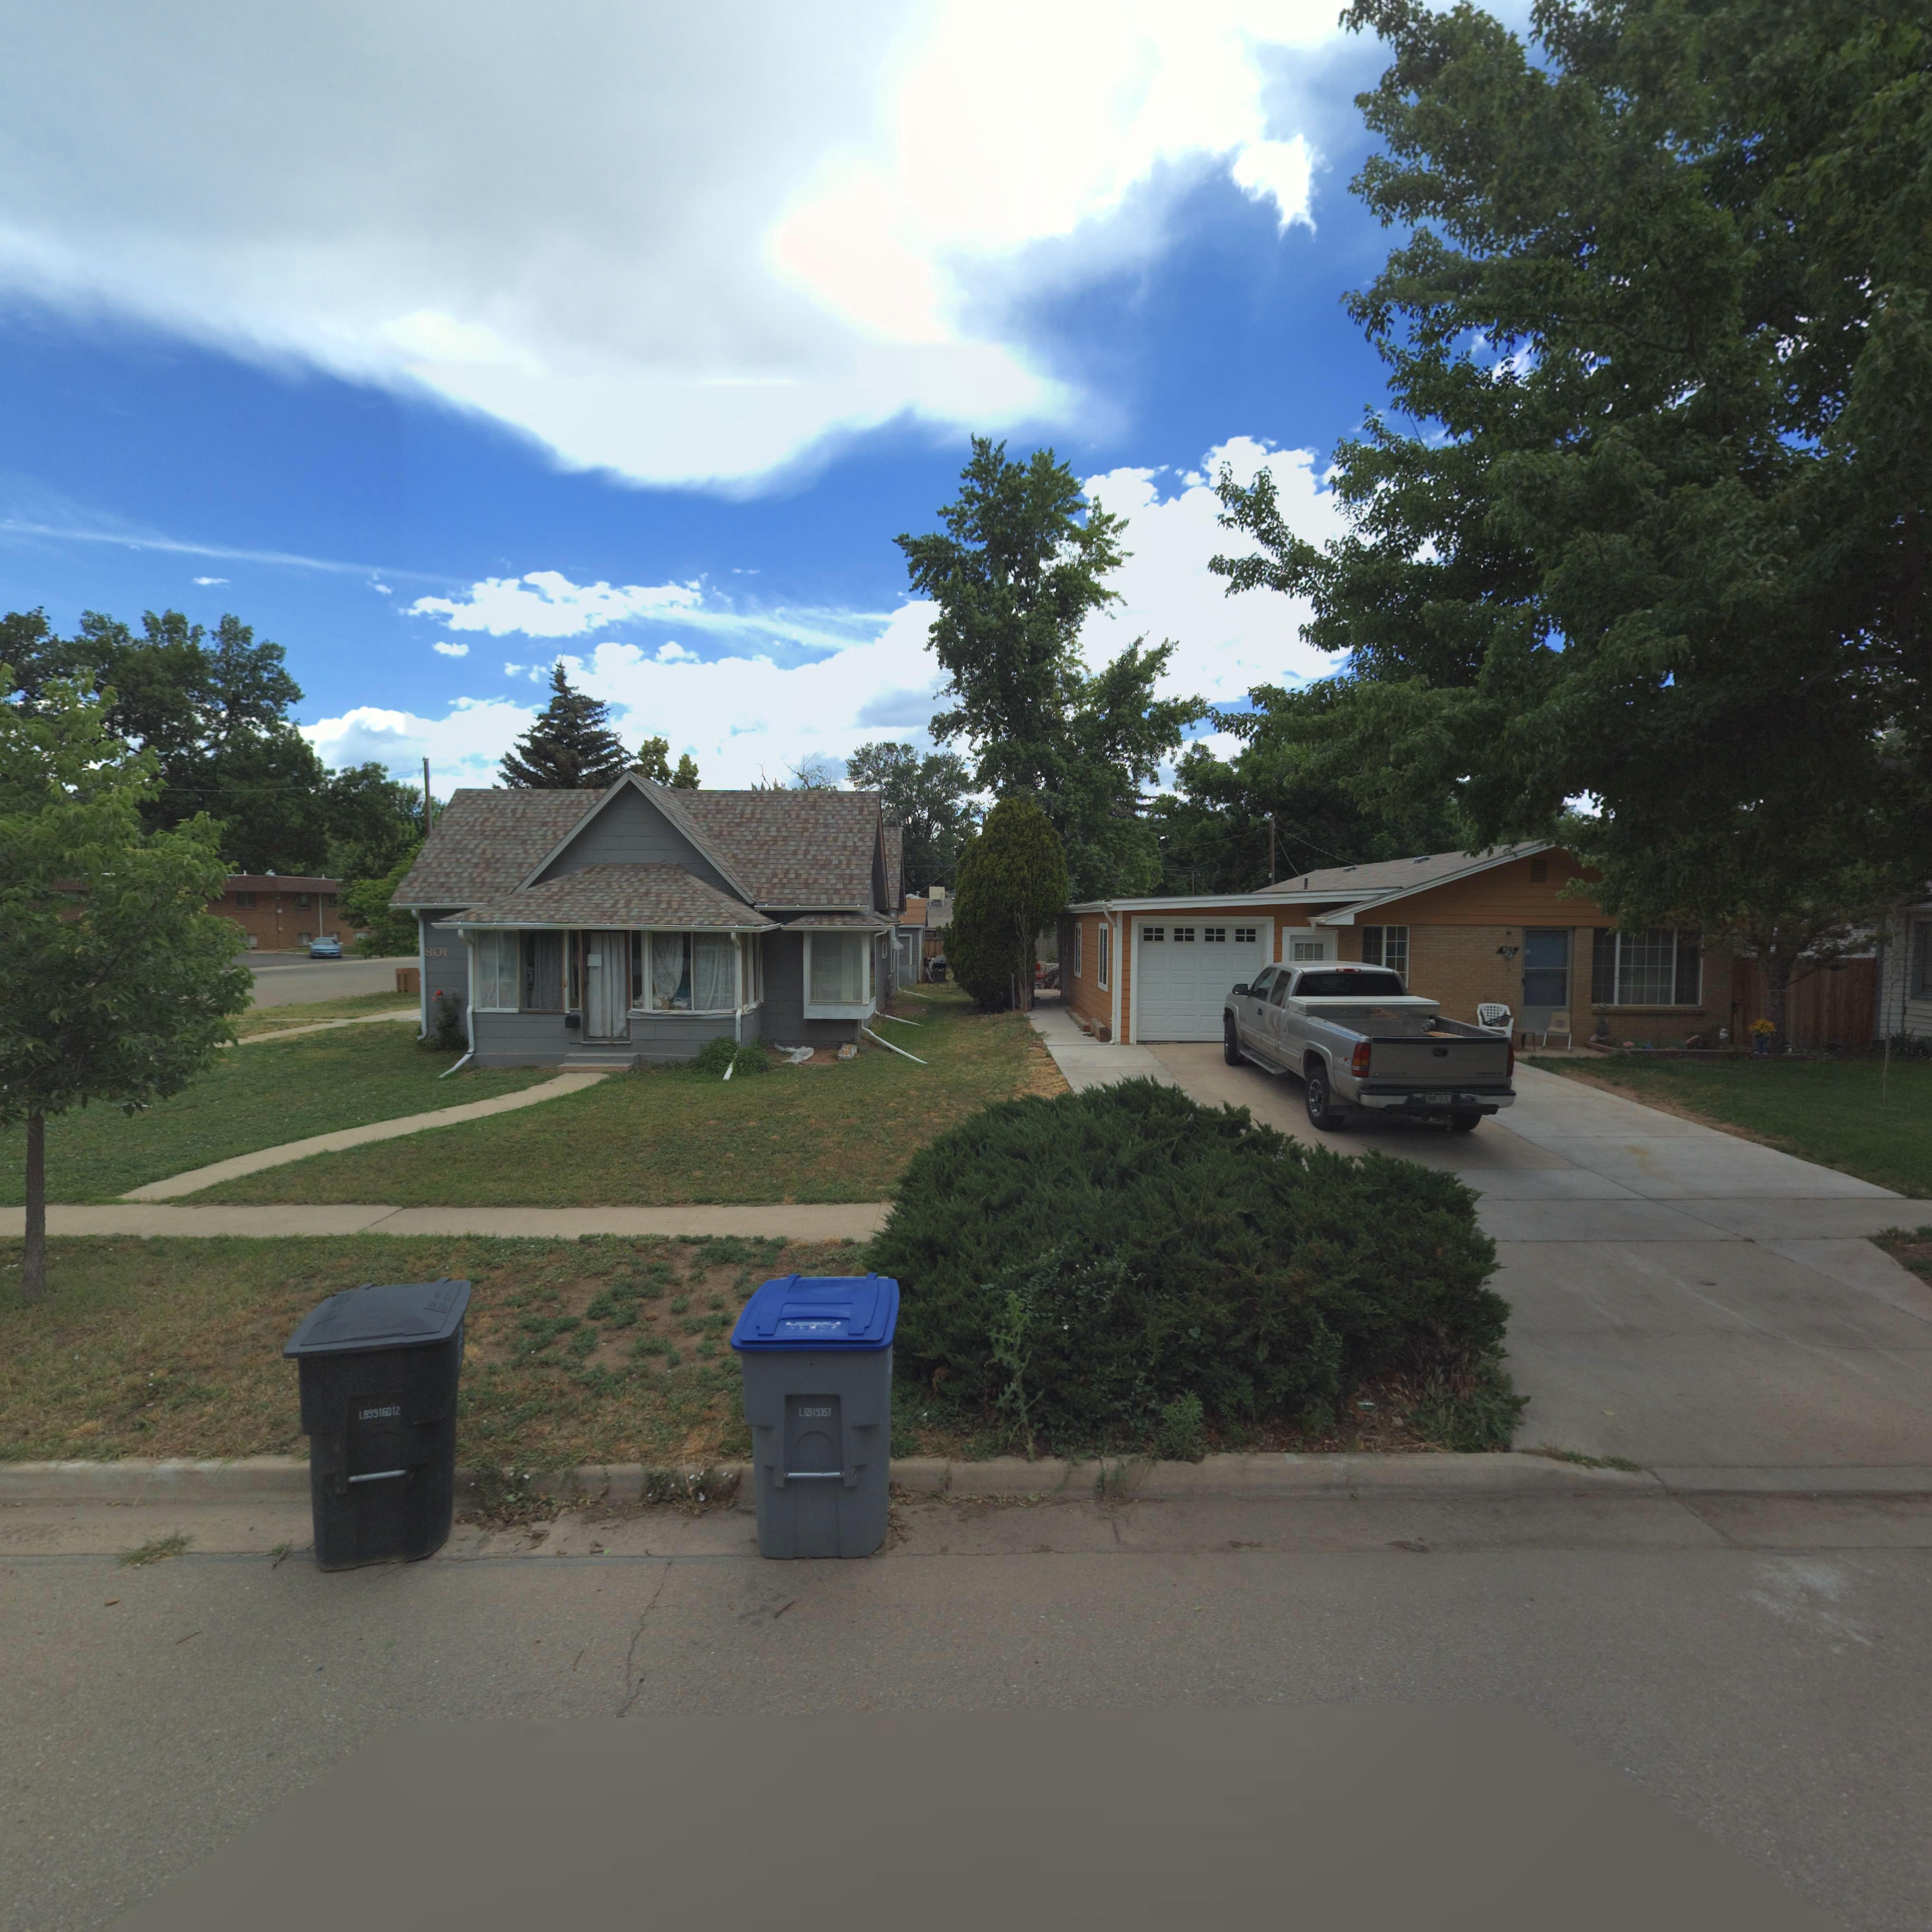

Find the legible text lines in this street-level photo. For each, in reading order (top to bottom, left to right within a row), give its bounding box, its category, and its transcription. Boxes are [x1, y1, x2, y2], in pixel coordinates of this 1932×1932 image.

[425, 947, 447, 957] StreetNumber: 801
[1502, 946, 1515, 954] StreetNumber: 805